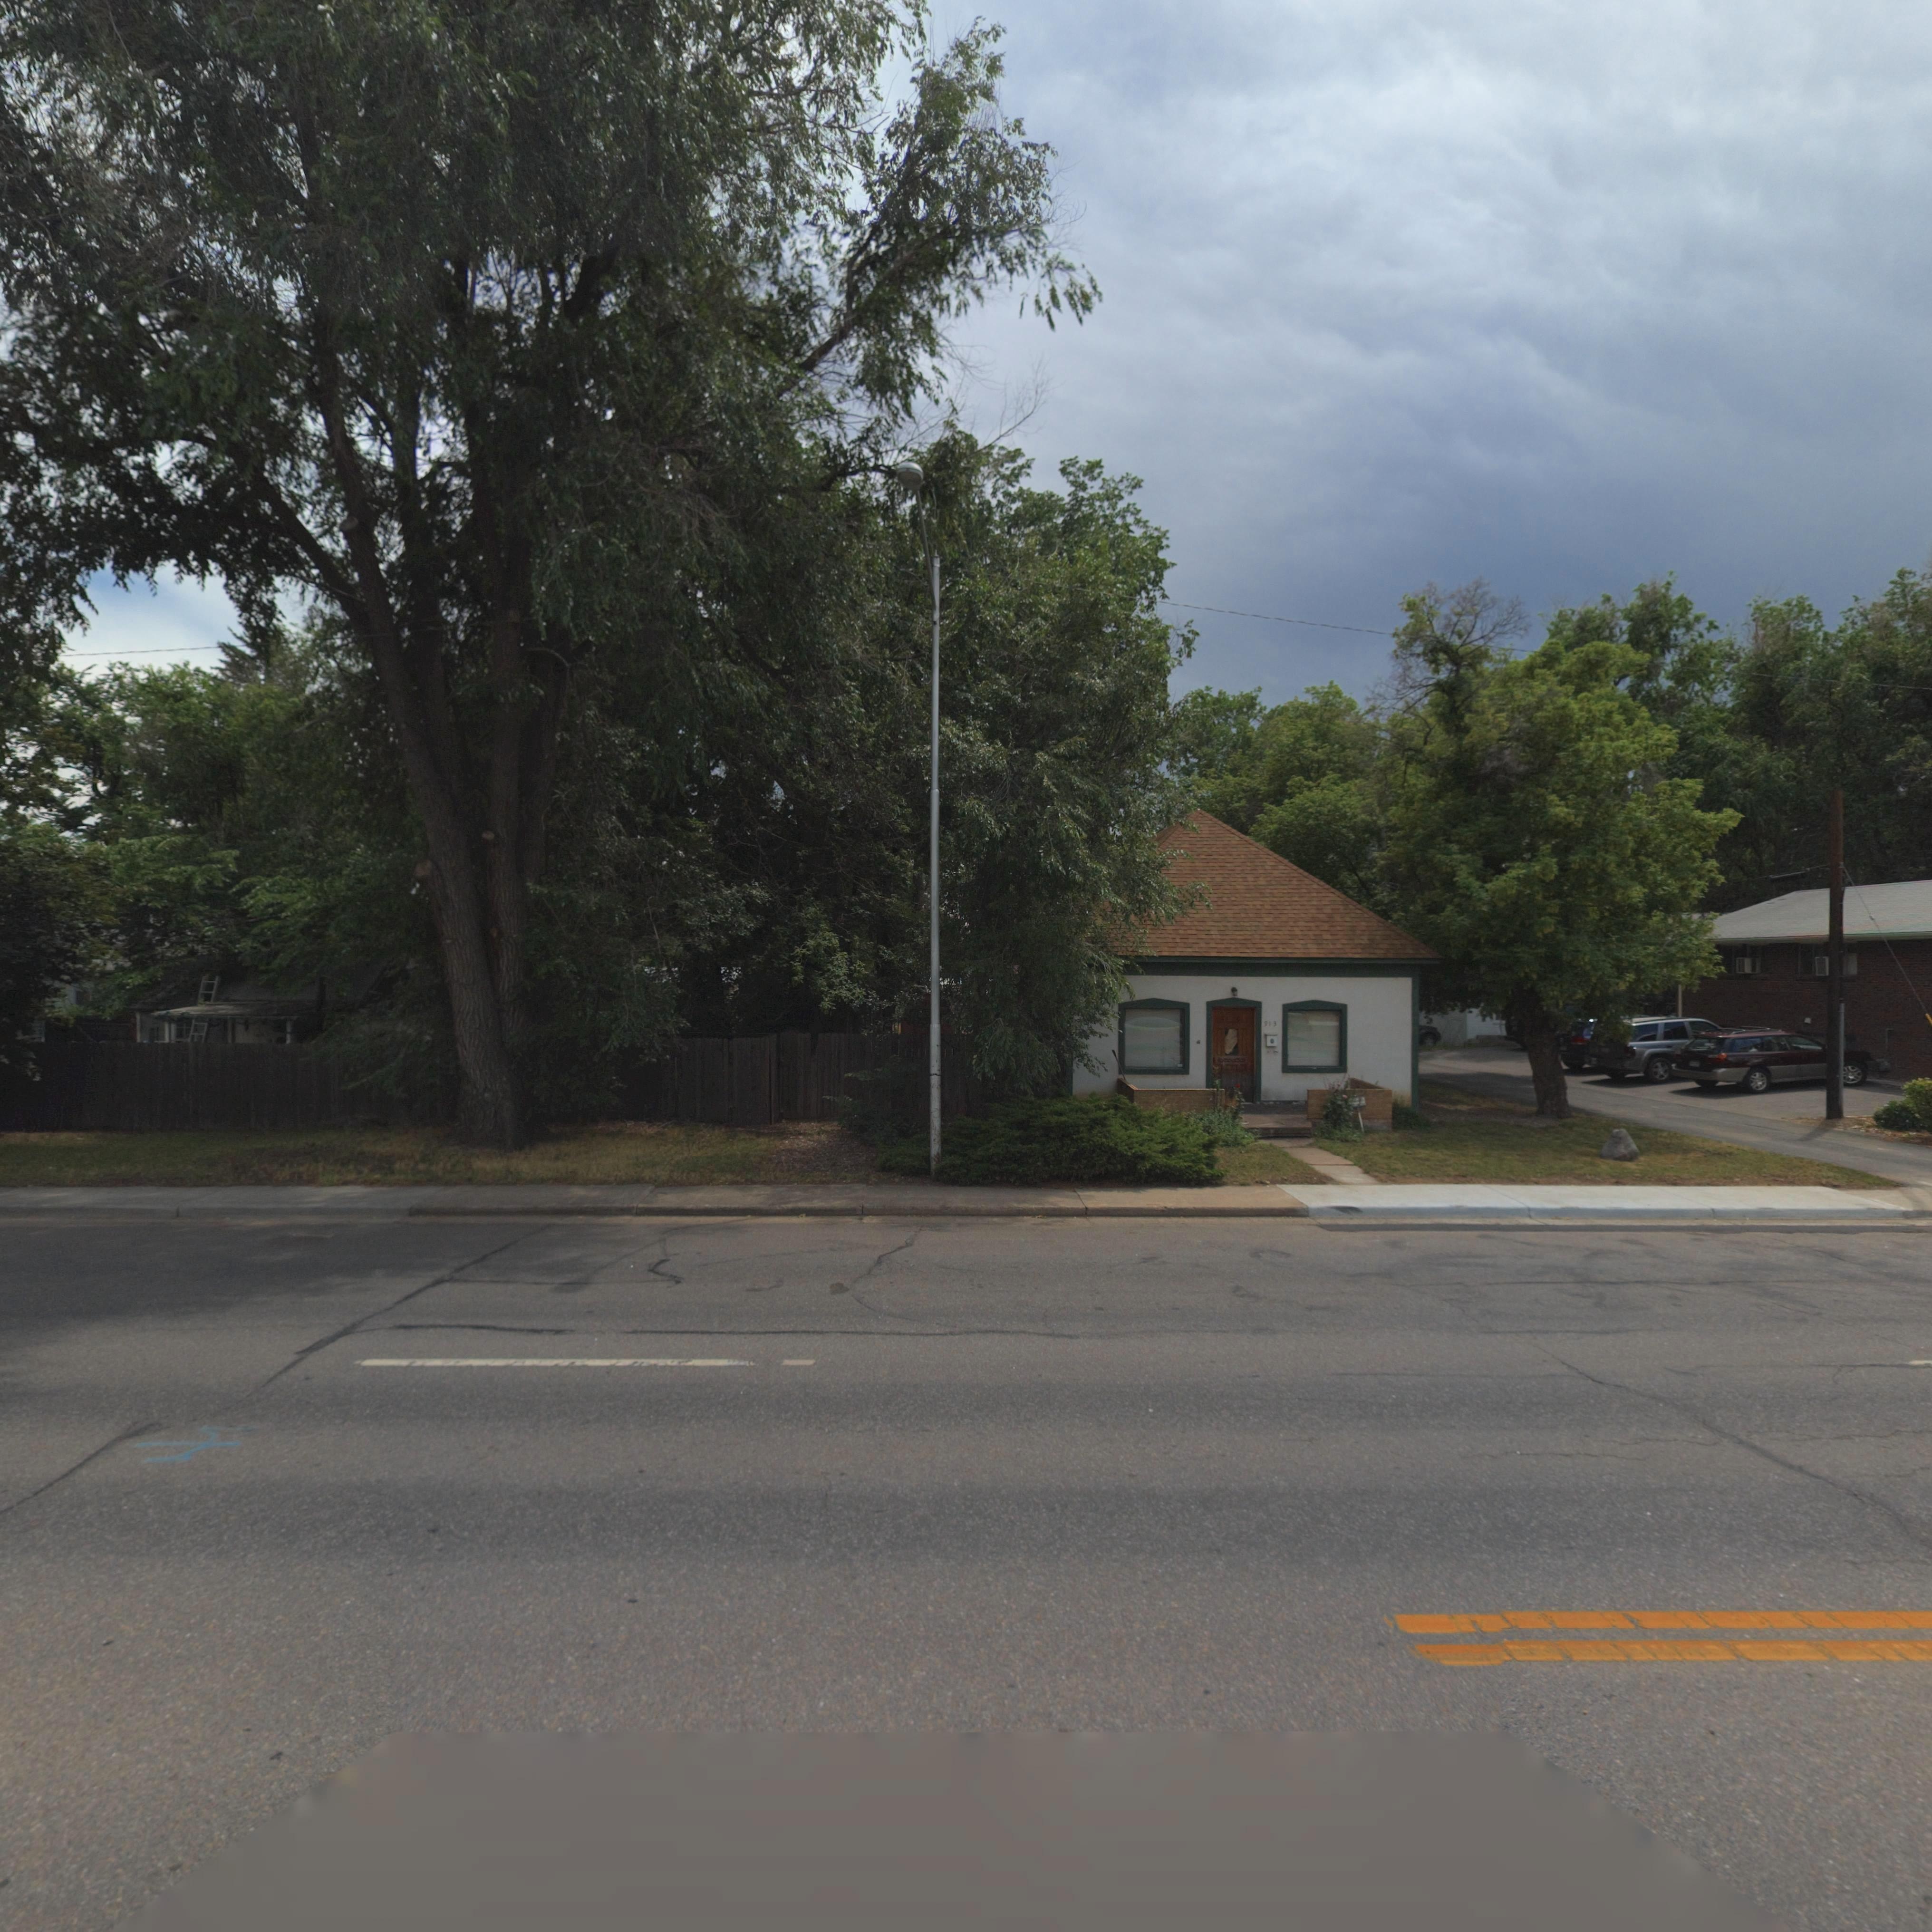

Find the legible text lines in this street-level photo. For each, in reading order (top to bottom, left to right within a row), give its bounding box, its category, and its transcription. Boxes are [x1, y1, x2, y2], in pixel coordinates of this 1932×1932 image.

[1264, 1020, 1277, 1027] StreetNumber: 913